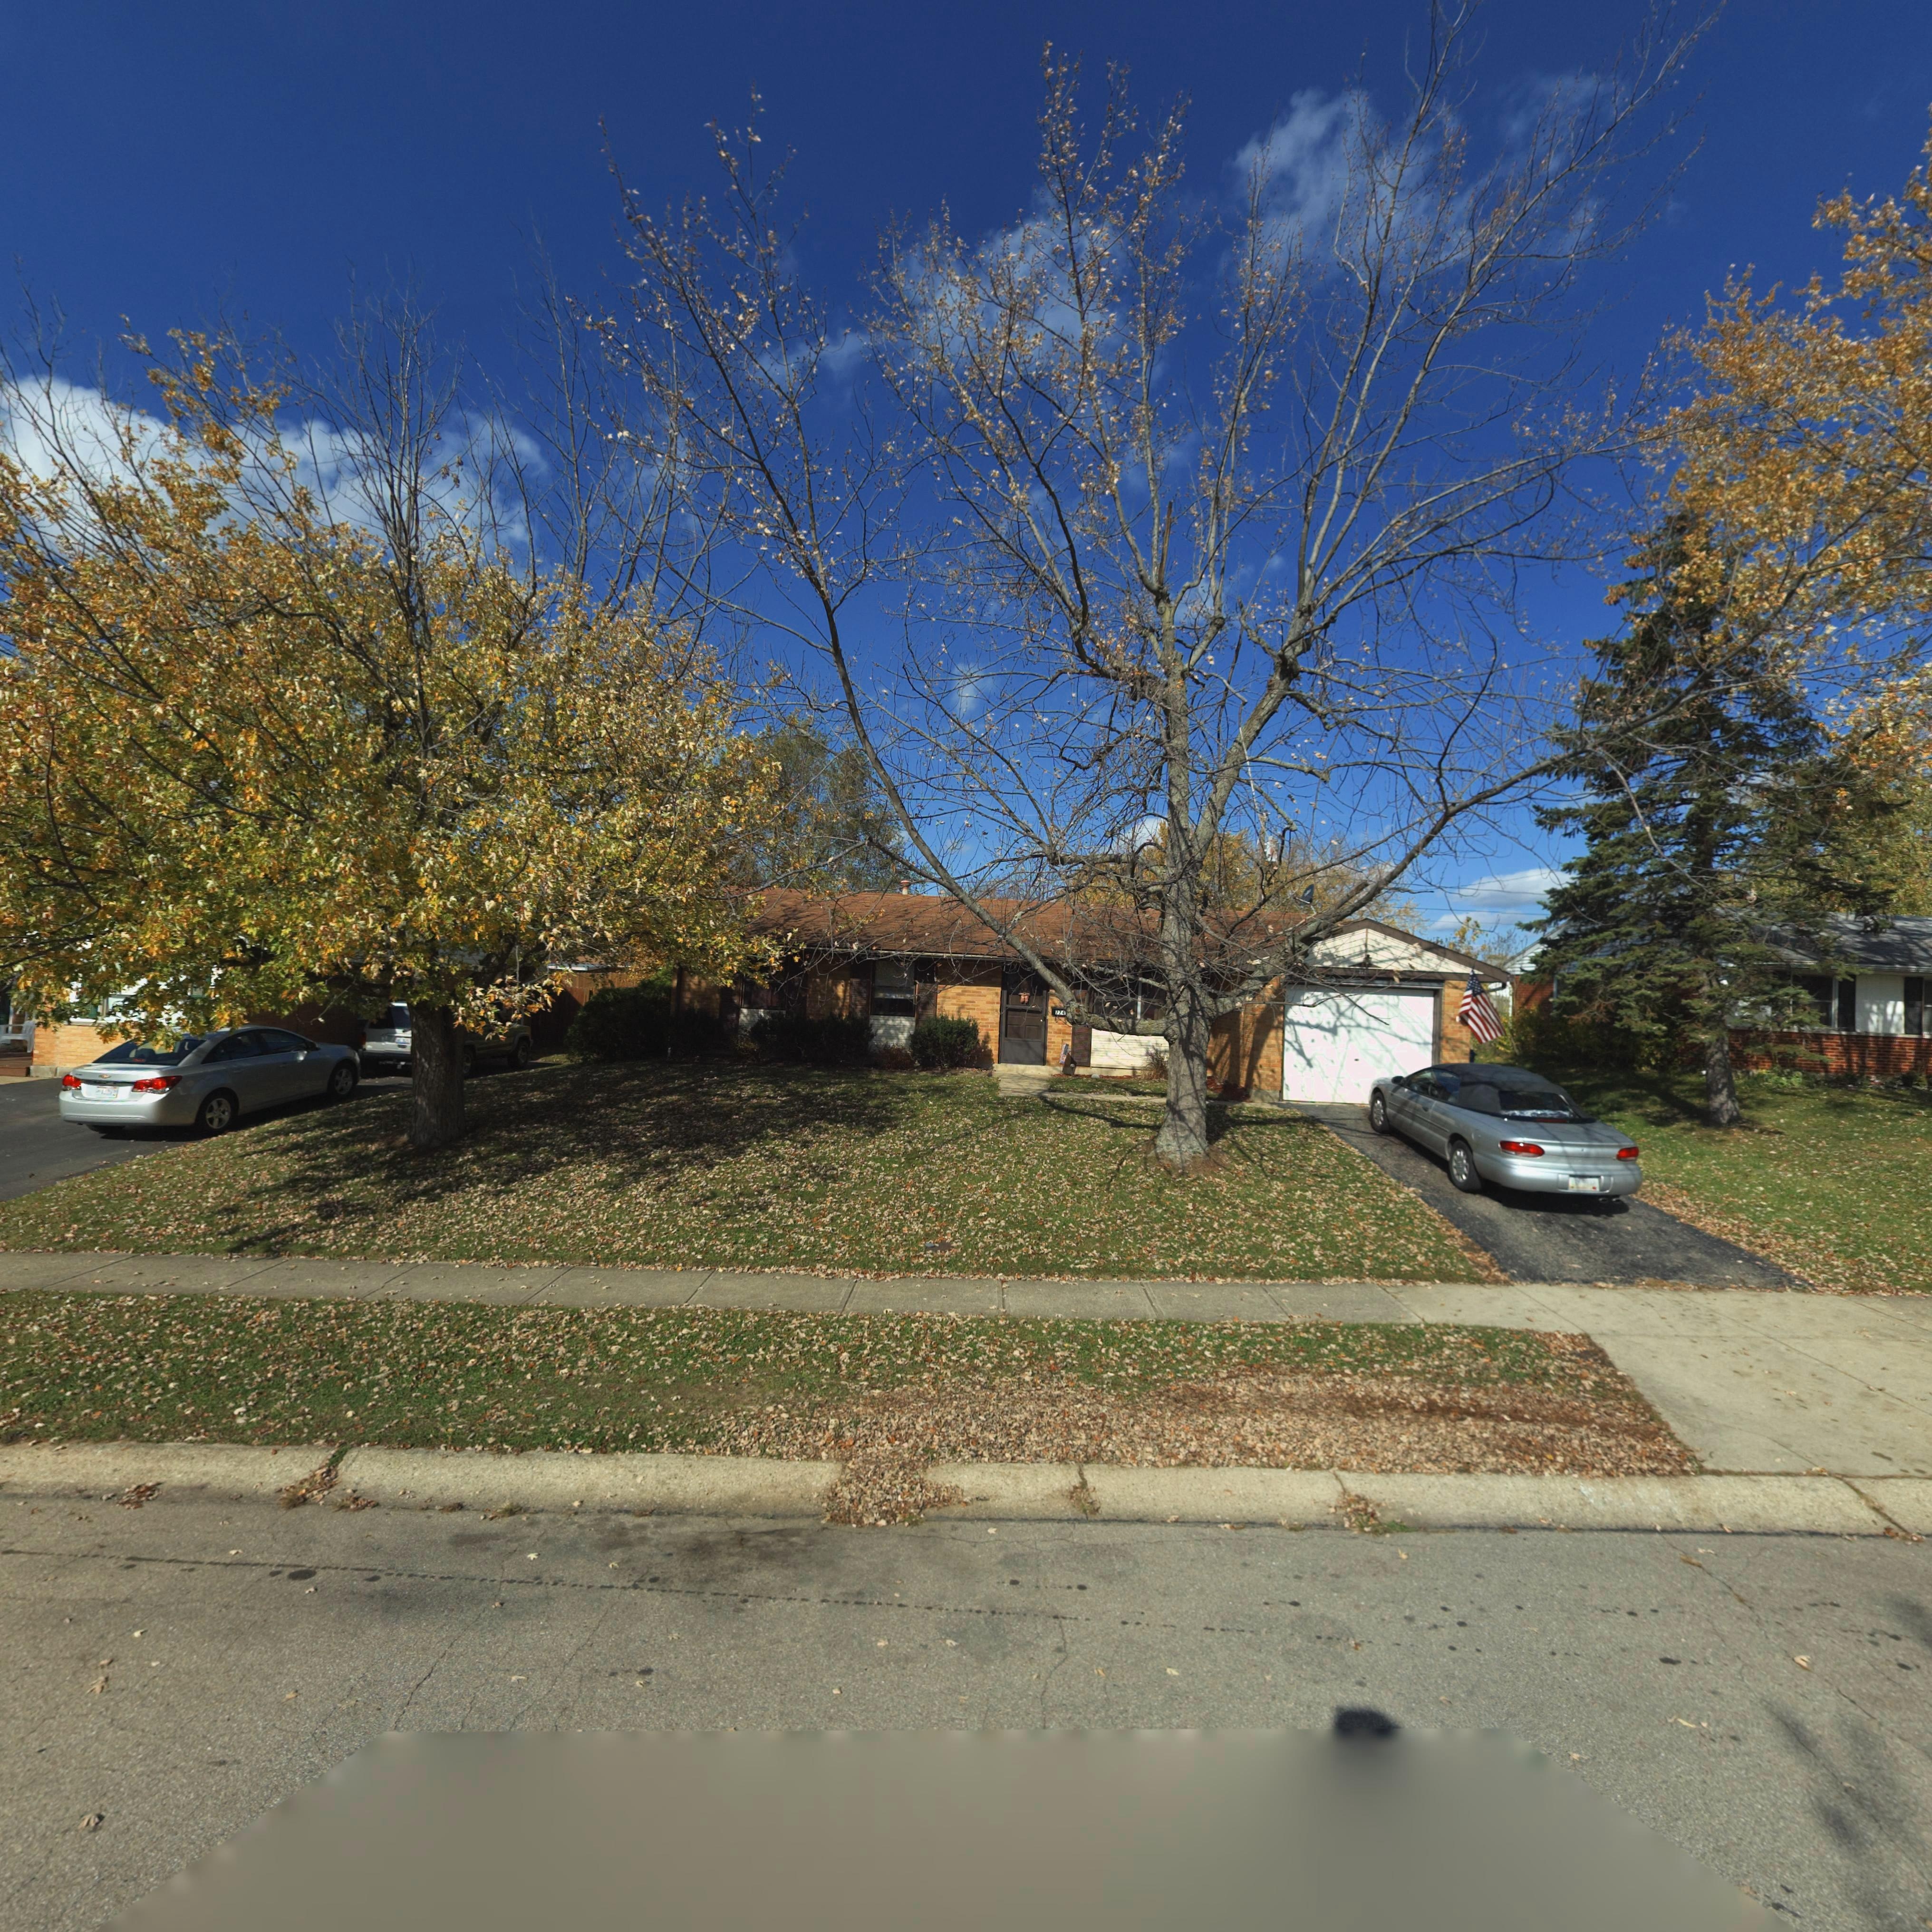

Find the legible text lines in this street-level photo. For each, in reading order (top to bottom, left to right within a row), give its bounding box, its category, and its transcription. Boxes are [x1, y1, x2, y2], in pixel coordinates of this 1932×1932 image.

[1358, 969, 1368, 975] StreetNumber: 77**
[1055, 1010, 1065, 1015] StreetNumber: 774